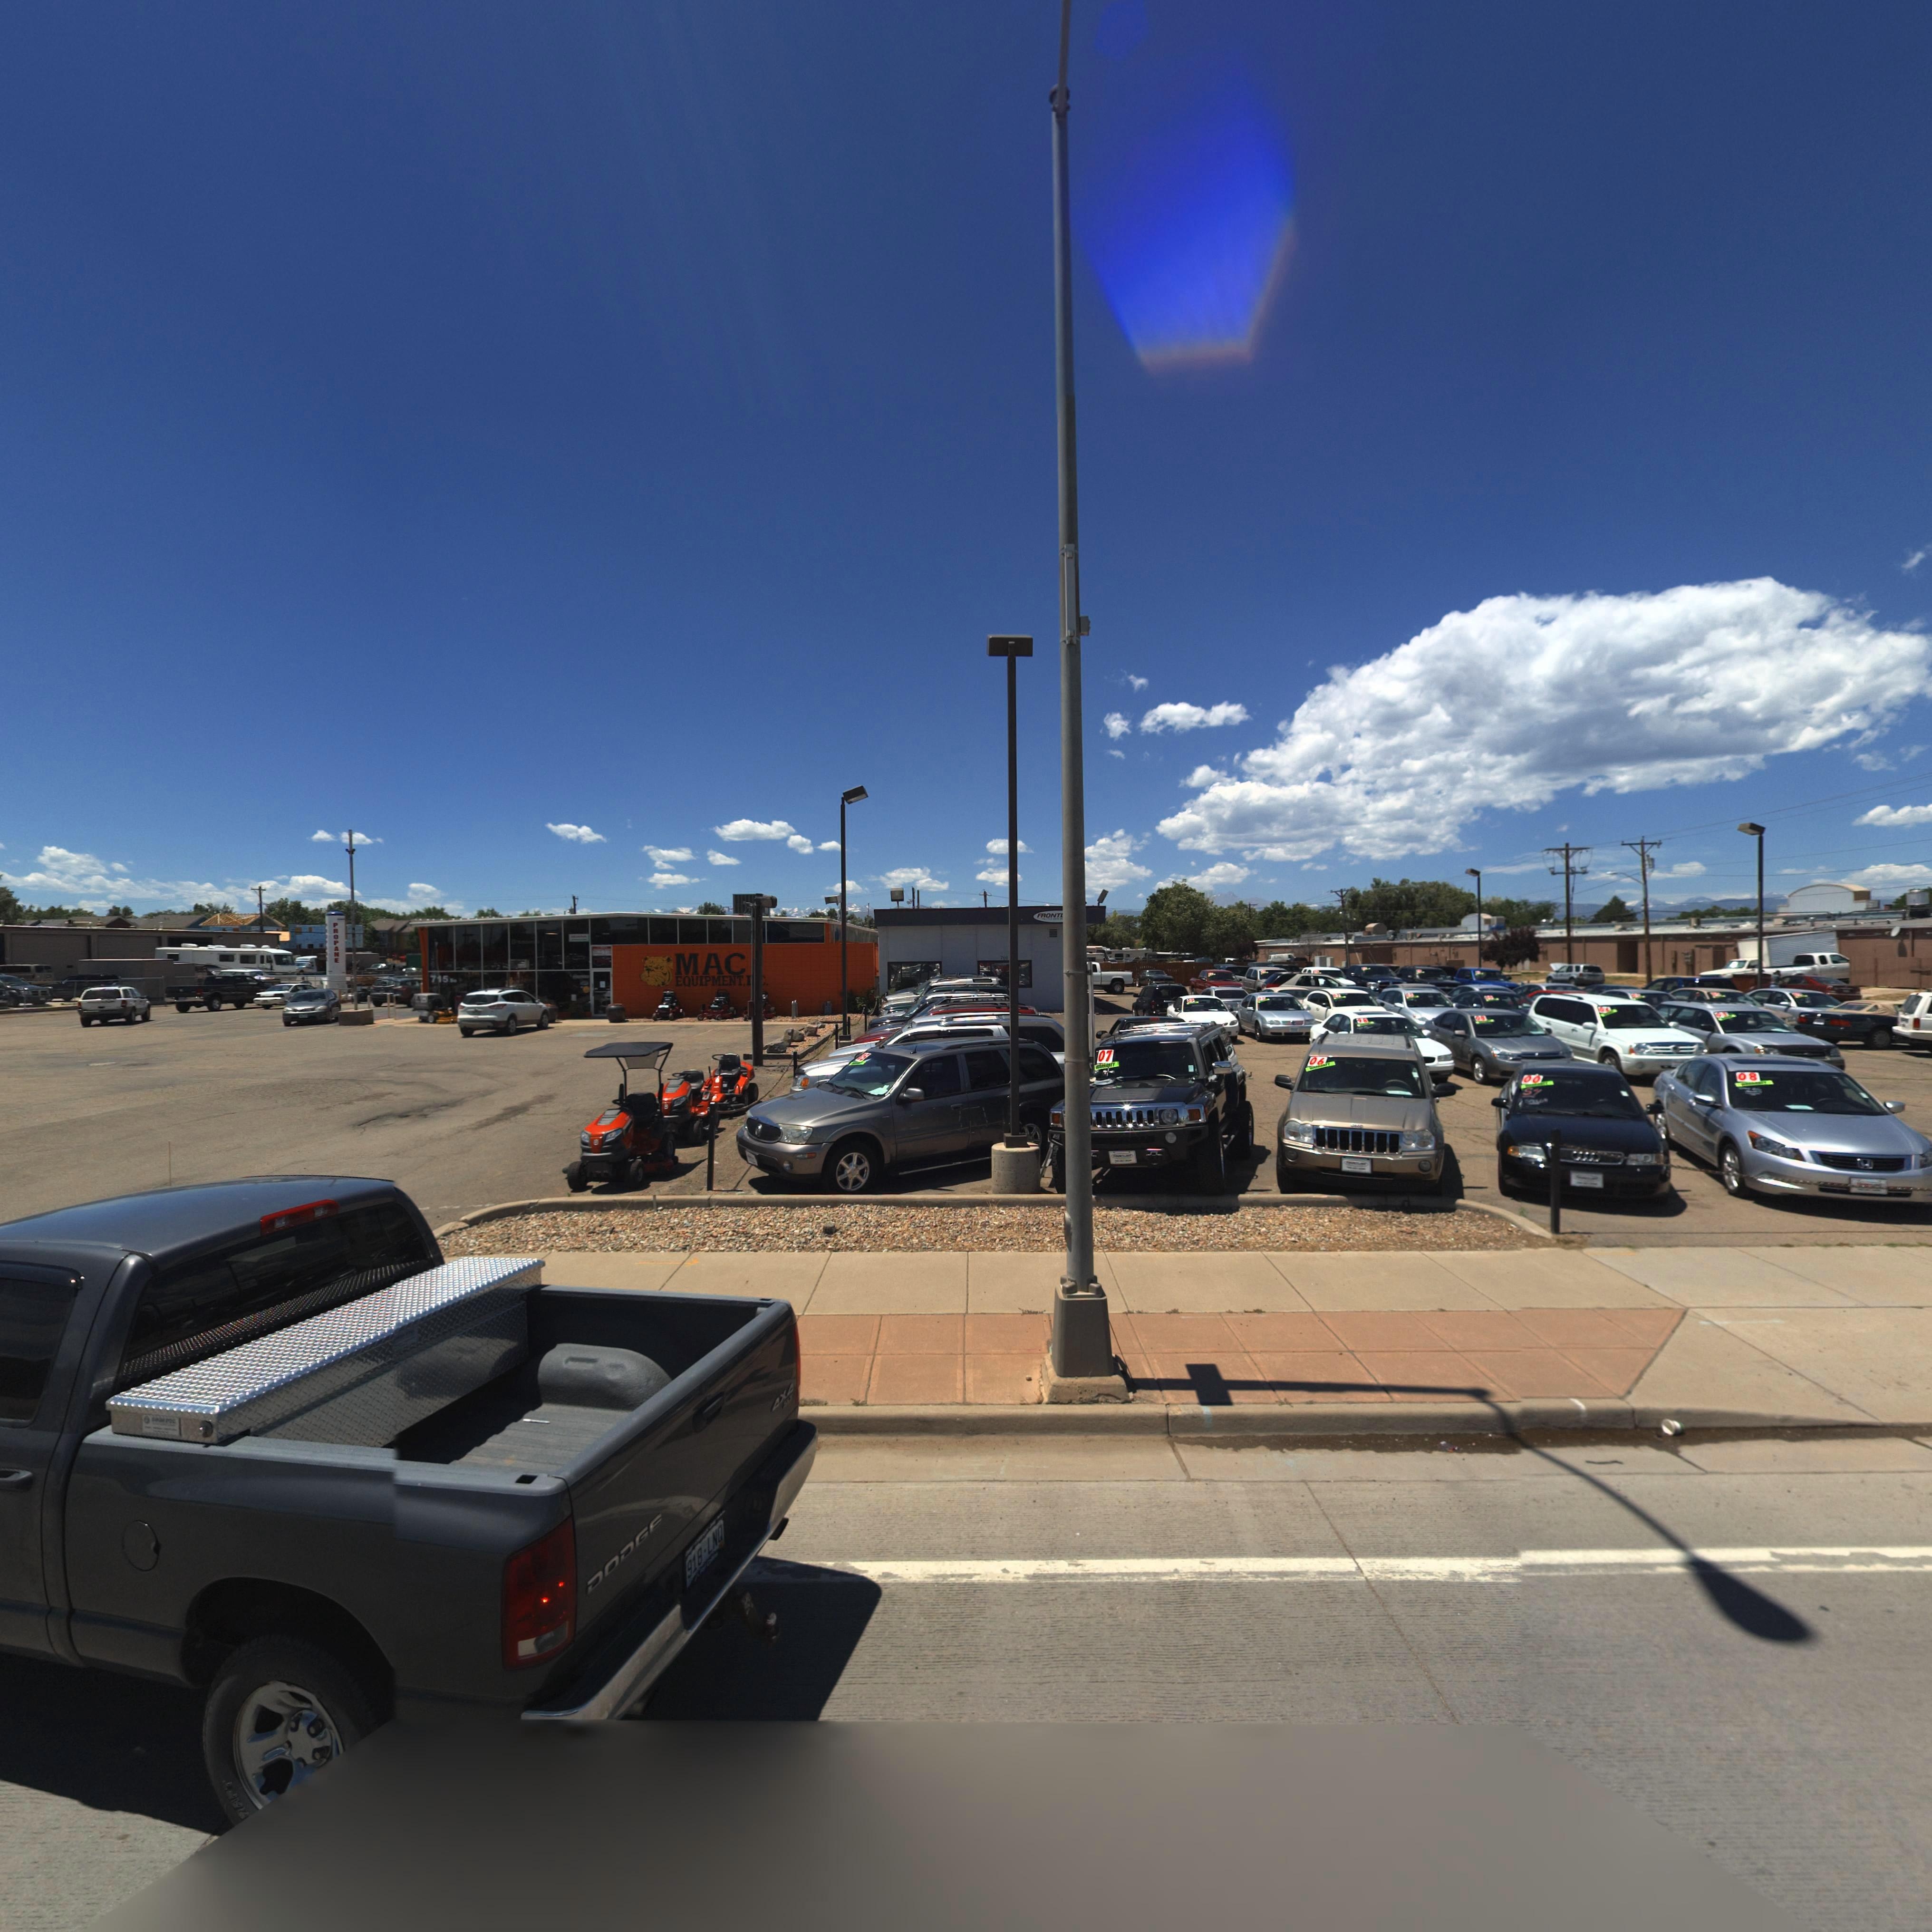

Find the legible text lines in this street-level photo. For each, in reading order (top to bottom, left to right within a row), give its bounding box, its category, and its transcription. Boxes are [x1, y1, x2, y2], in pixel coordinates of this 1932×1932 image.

[1036, 913, 1062, 918] BusinessName: FRONT
[999, 955, 1008, 960] StreetNumber: 701
[674, 951, 747, 976] BusinessName: MAC
[430, 975, 449, 983] StreetNumber: 715
[674, 974, 769, 987] BusinessName: EQUIPTMENT* I